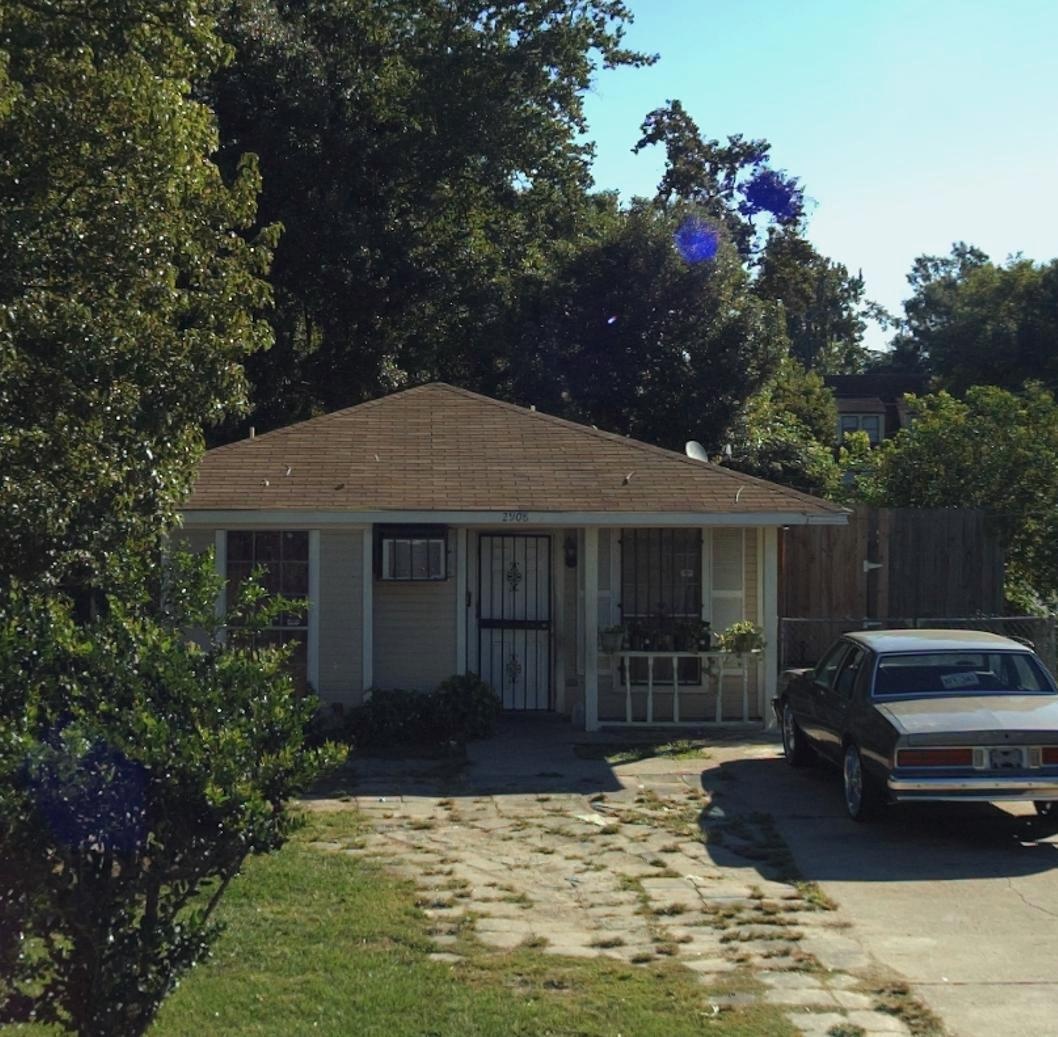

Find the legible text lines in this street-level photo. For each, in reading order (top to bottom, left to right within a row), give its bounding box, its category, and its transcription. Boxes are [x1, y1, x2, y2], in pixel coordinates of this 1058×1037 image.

[500, 510, 532, 524] StreetNumber: 2908